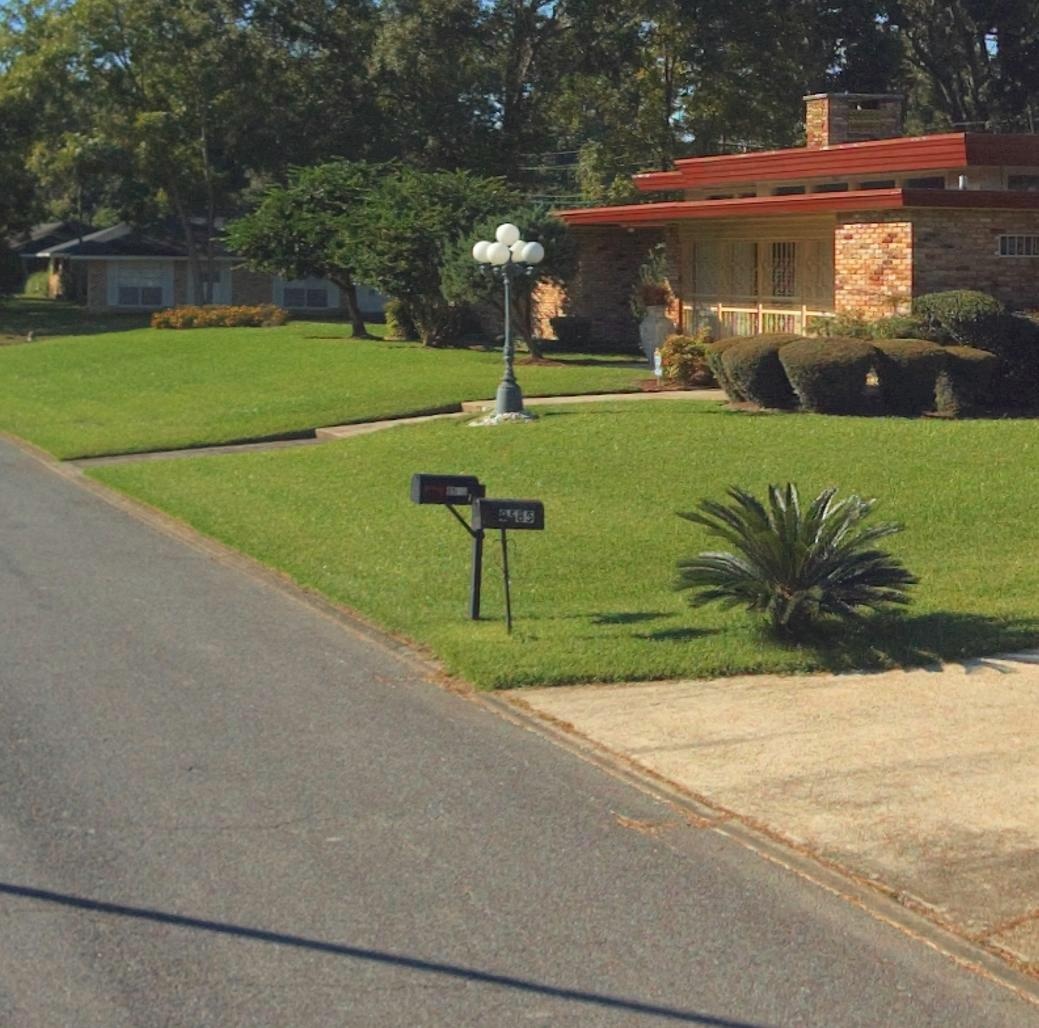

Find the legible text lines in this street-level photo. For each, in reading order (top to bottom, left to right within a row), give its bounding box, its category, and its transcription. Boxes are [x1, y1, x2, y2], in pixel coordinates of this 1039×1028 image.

[446, 487, 468, 496] StreetNumber: 9543
[500, 509, 535, 522] StreetNumber: 9585